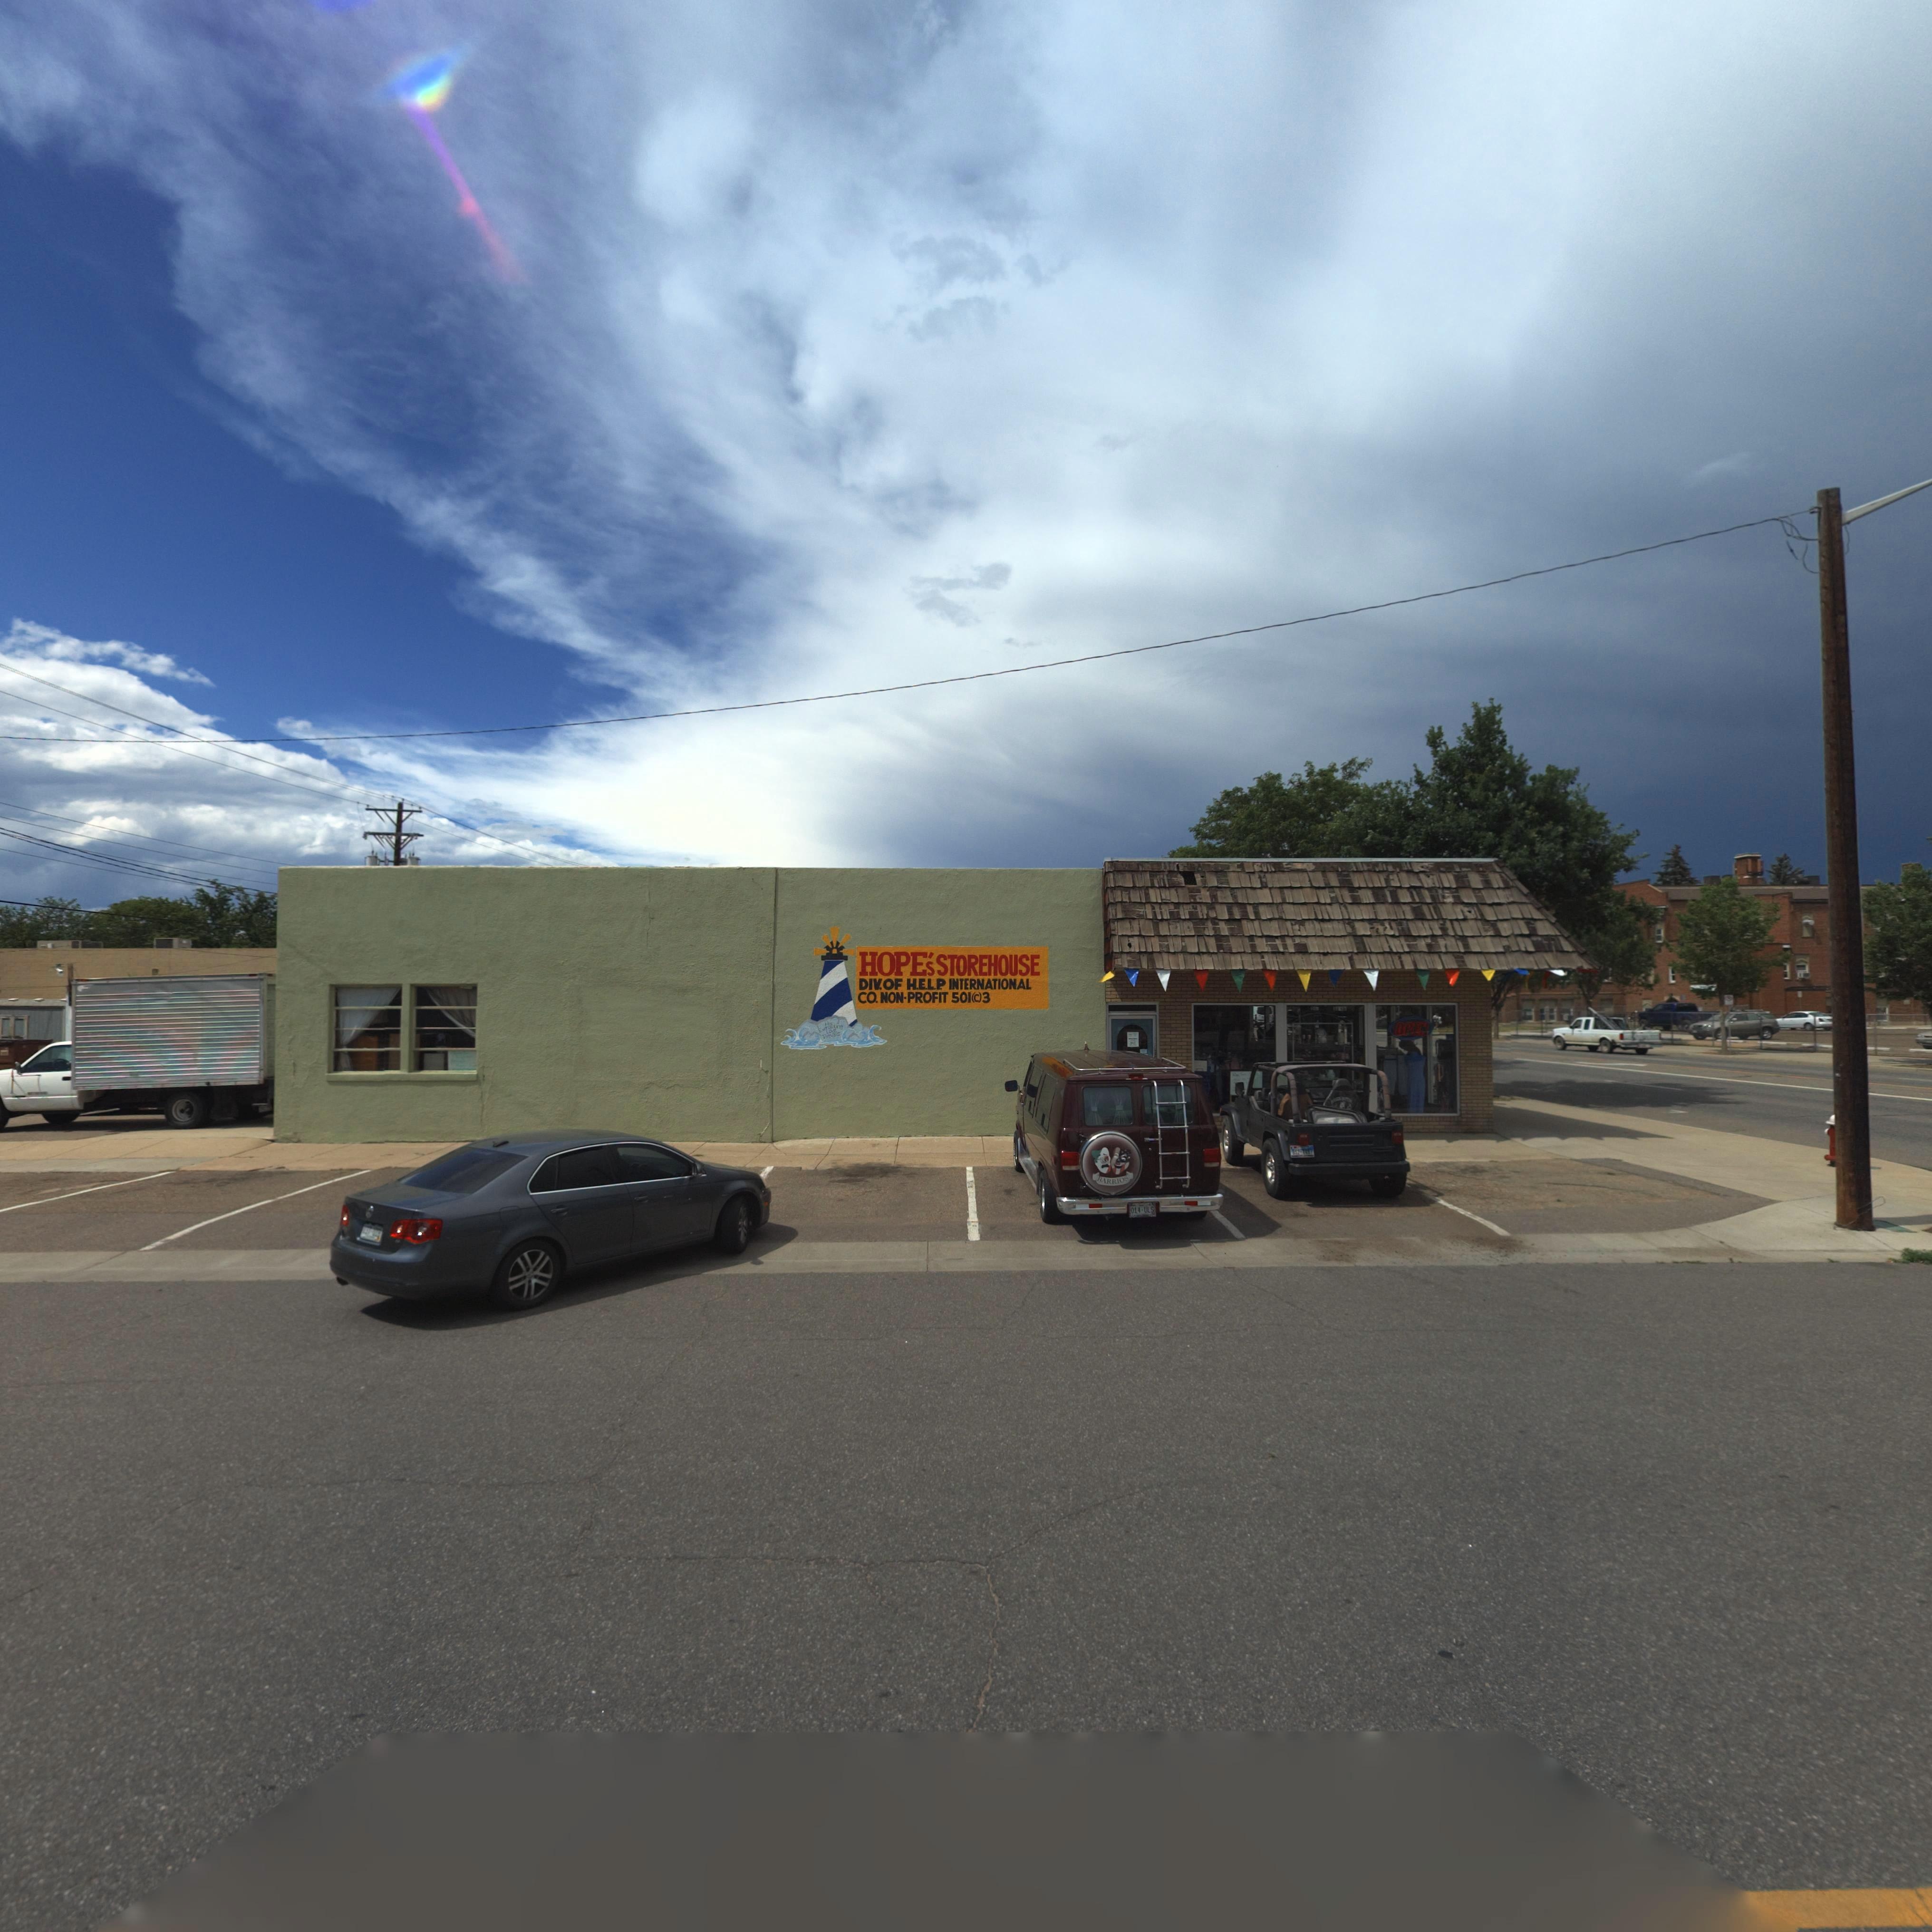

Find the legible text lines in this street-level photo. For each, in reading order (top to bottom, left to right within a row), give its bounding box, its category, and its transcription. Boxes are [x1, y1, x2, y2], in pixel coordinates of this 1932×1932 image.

[858, 950, 1041, 976] BusinessName: HOPE's STOREHOUSE